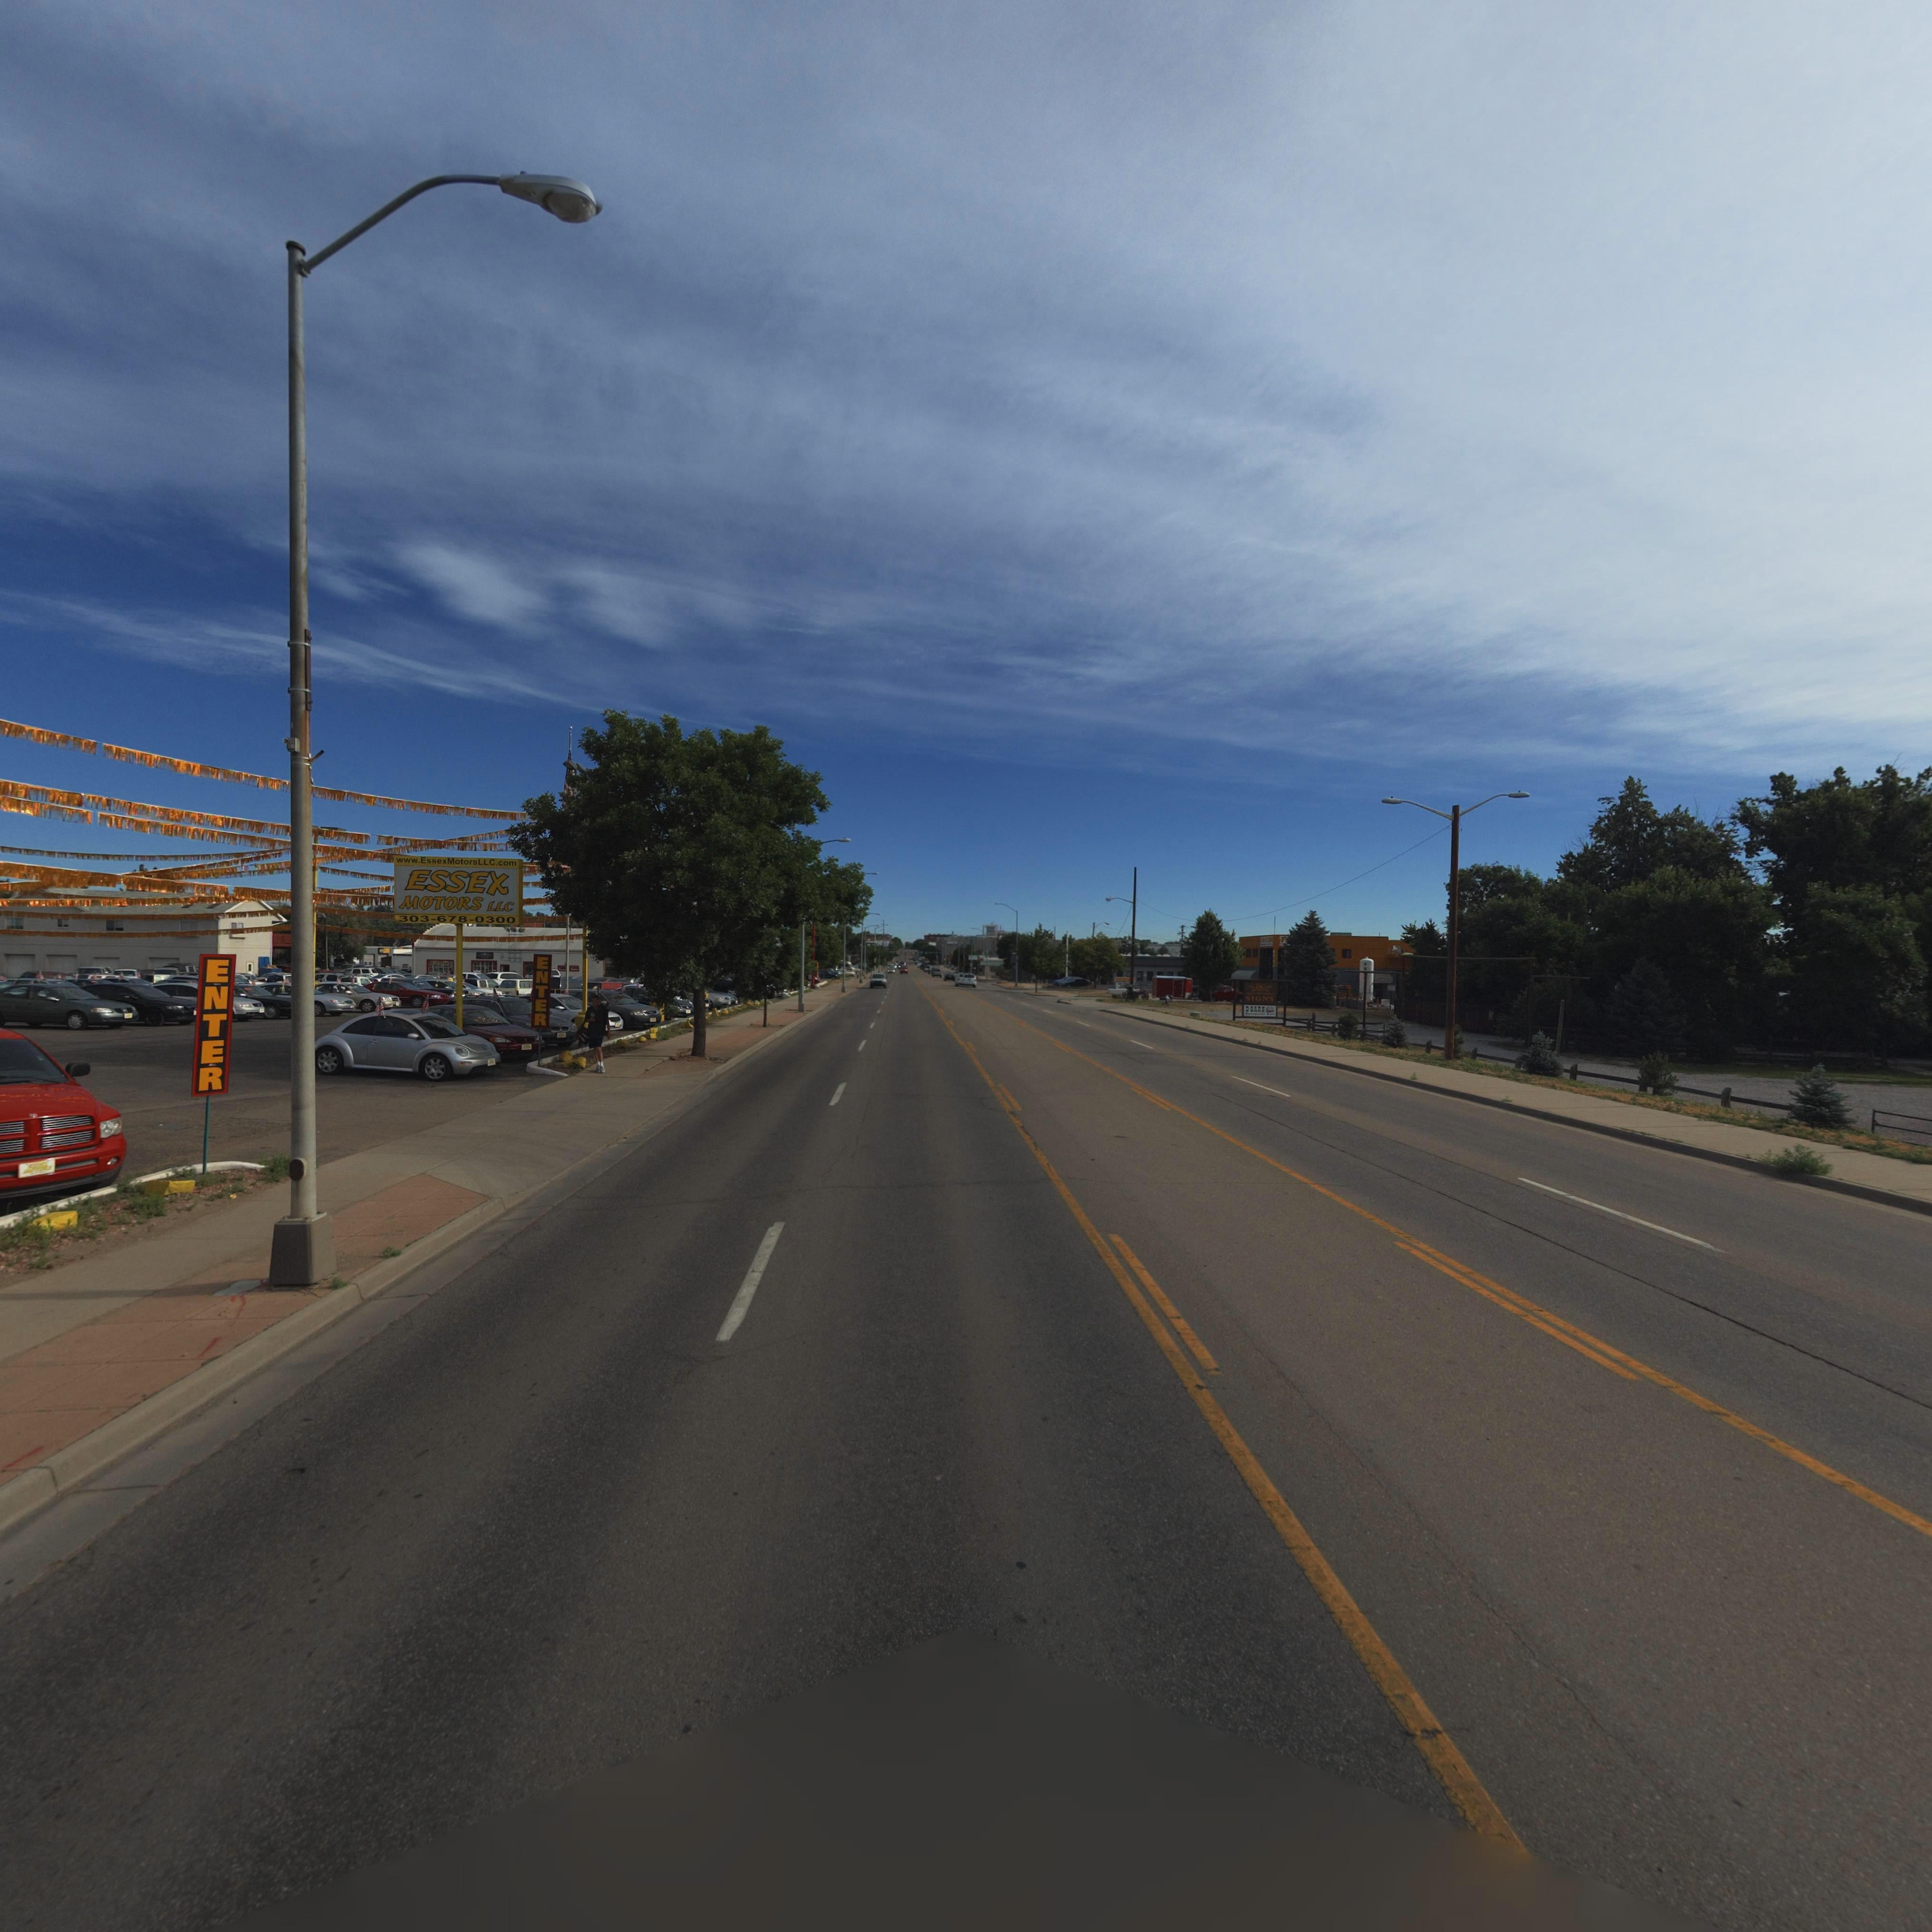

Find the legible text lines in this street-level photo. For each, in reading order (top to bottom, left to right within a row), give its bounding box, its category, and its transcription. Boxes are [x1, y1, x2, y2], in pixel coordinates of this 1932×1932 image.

[404, 869, 509, 896] BusinessName: ESSEX
[398, 895, 515, 912] BusinessName: MOTORS LLC
[1280, 937, 1286, 942] BusinessName: T
[1245, 1006, 1265, 1012] BusinessName: D-BAR*